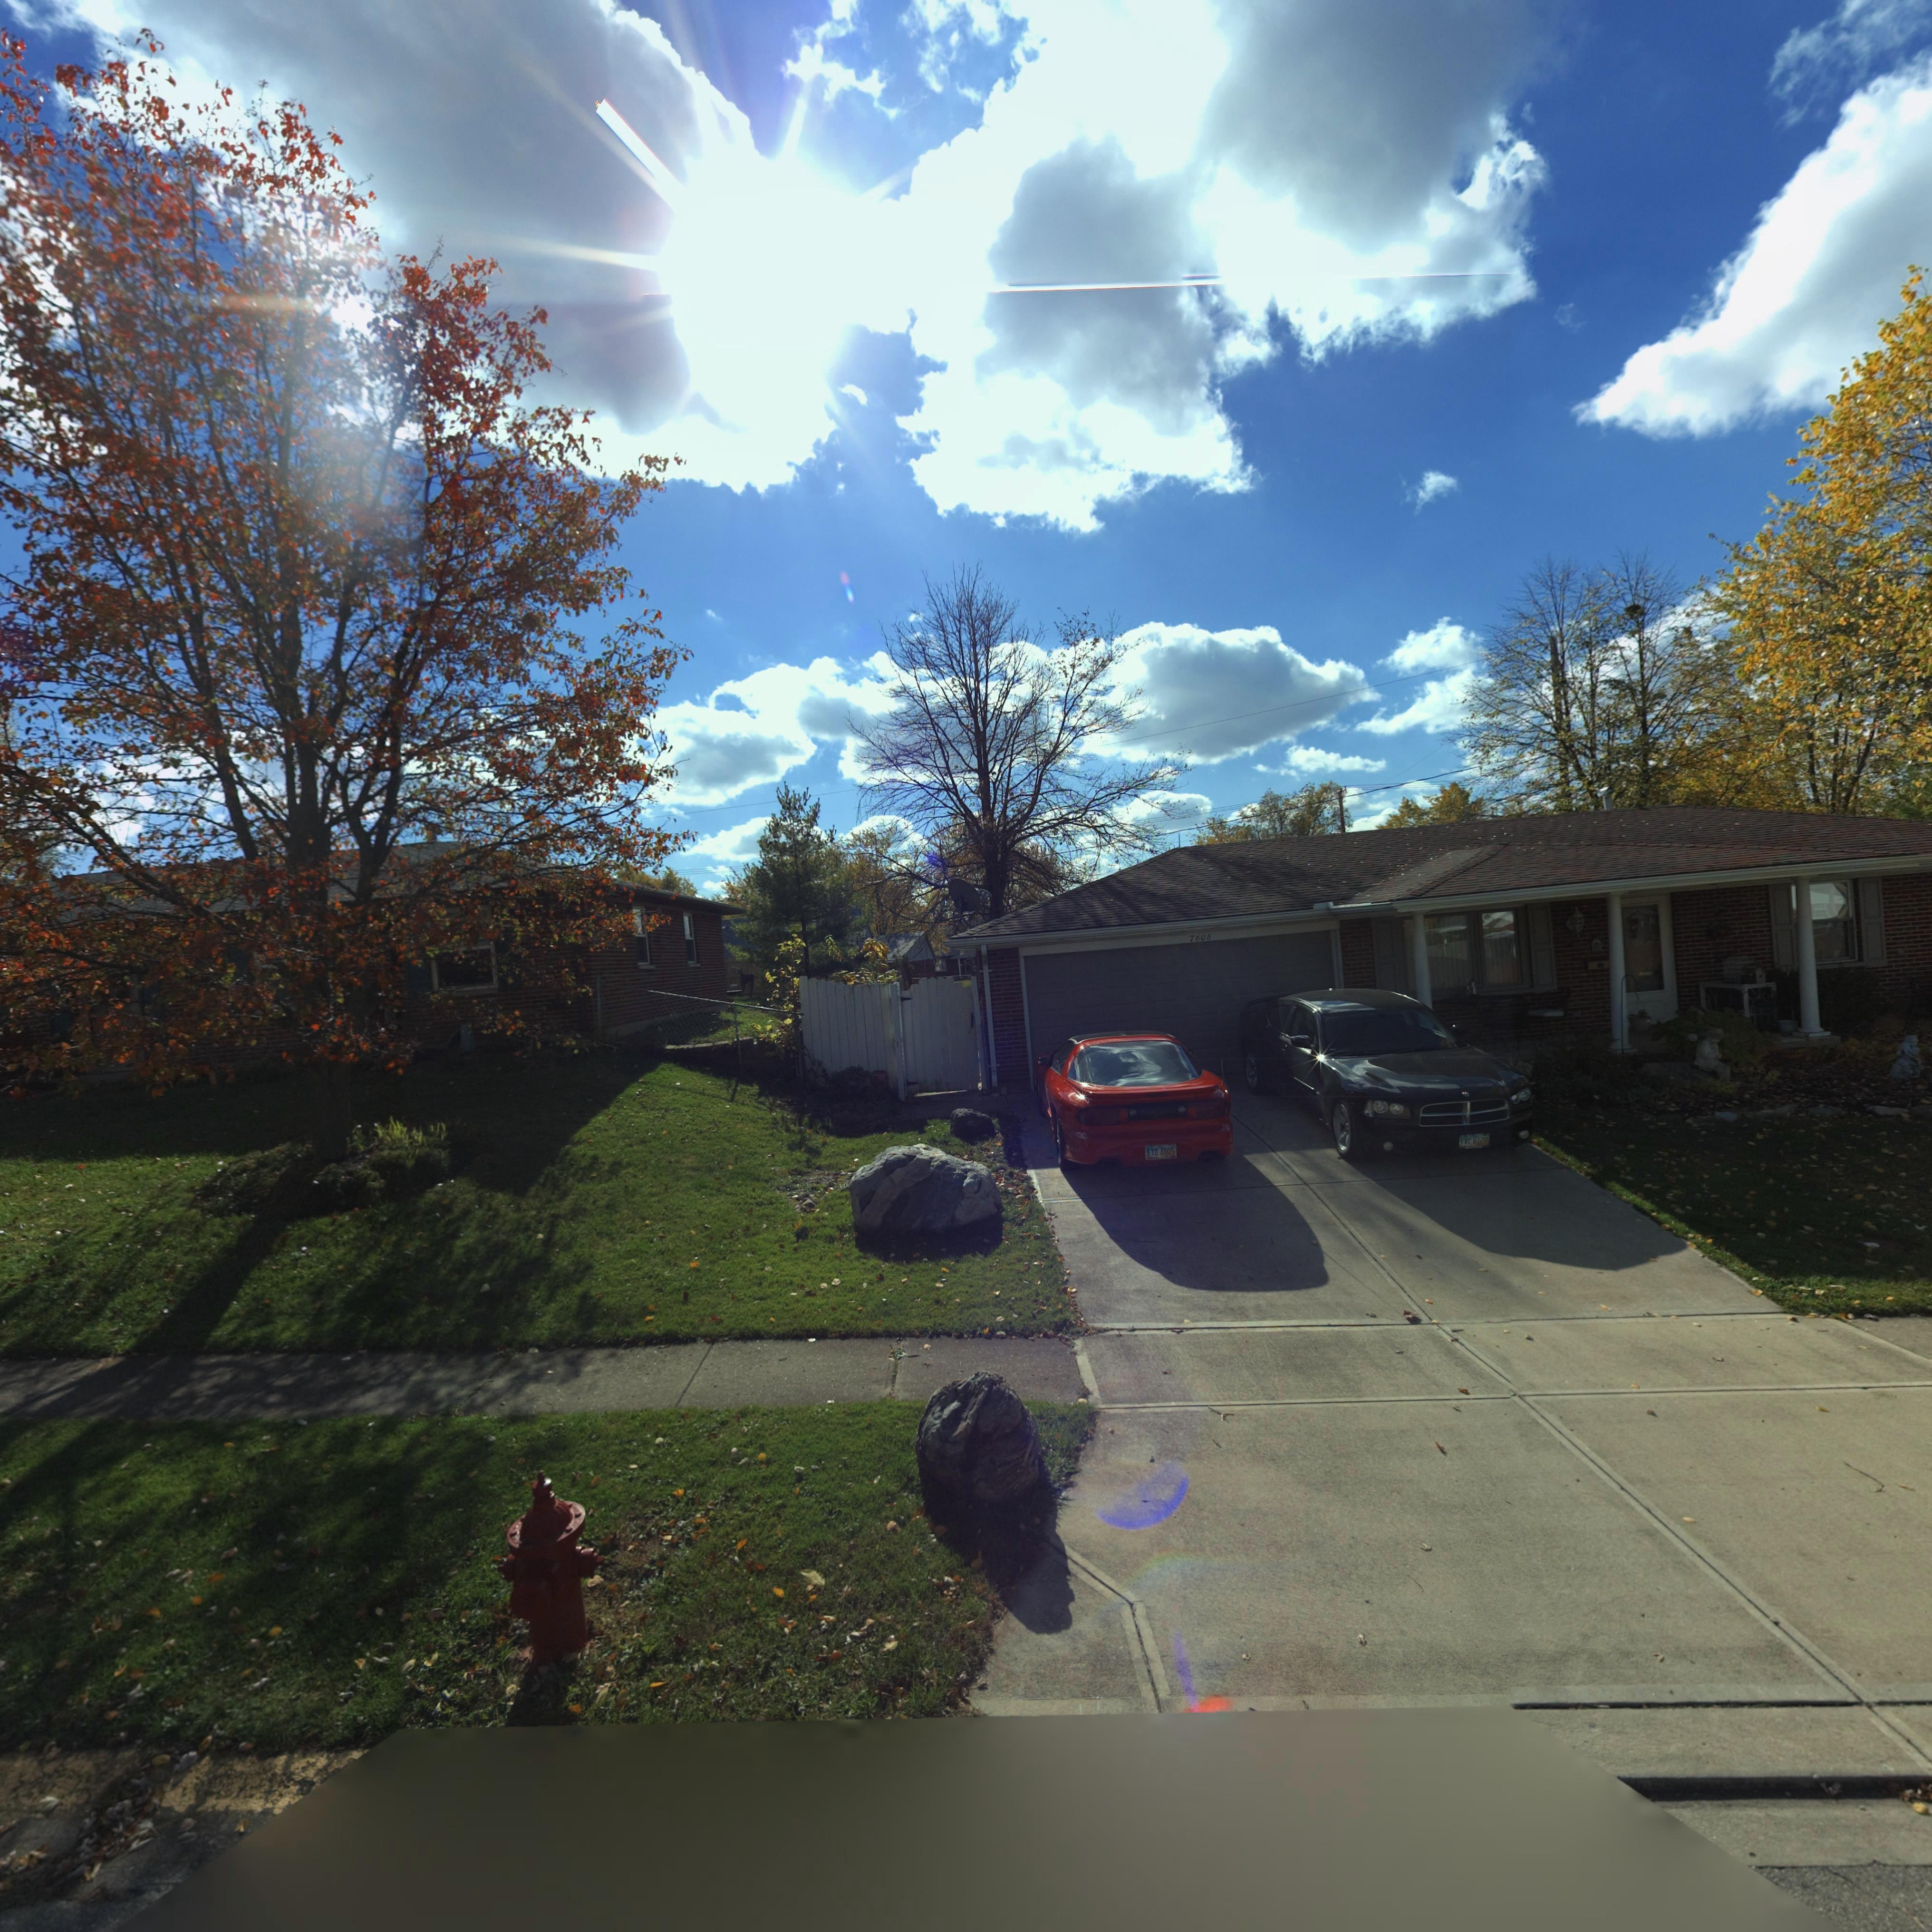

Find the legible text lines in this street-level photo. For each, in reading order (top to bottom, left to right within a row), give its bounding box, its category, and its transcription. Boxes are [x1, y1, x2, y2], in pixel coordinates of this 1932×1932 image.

[1189, 932, 1212, 943] StreetNumber: 7606